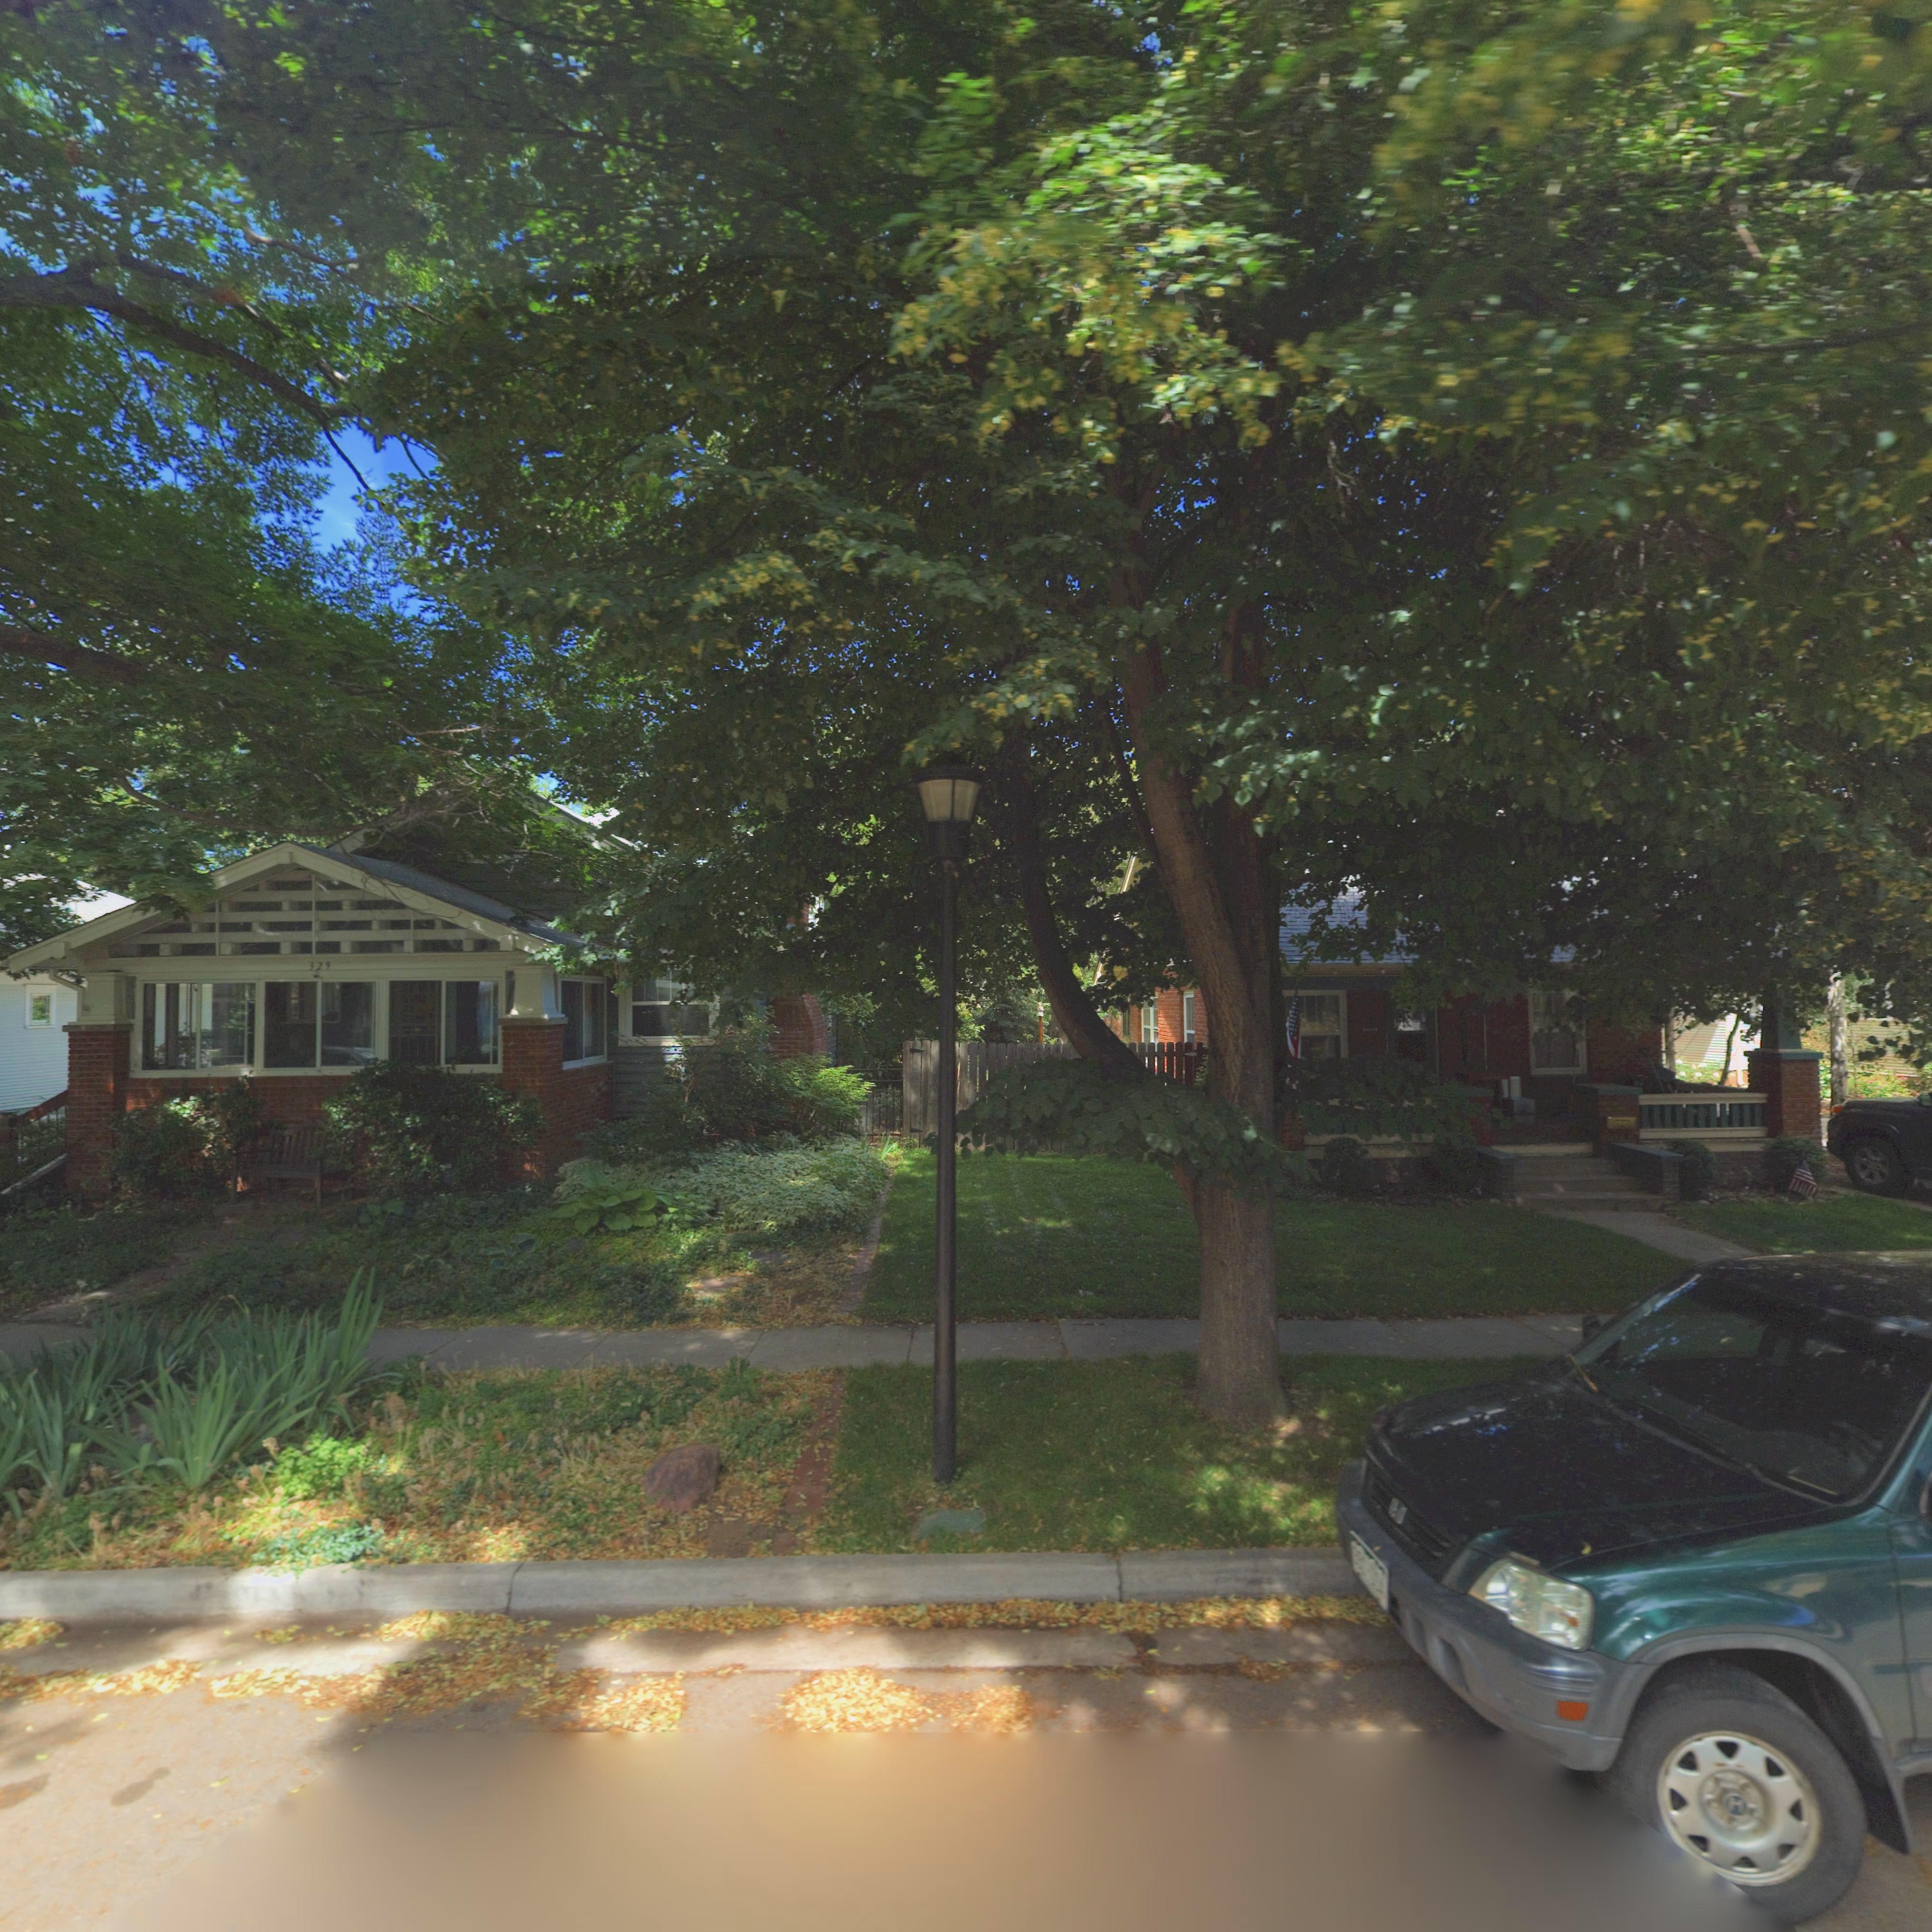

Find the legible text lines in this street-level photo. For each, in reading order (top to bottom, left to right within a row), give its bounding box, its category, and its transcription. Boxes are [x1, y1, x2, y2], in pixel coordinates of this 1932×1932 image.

[308, 960, 331, 970] StreetNumber: 329